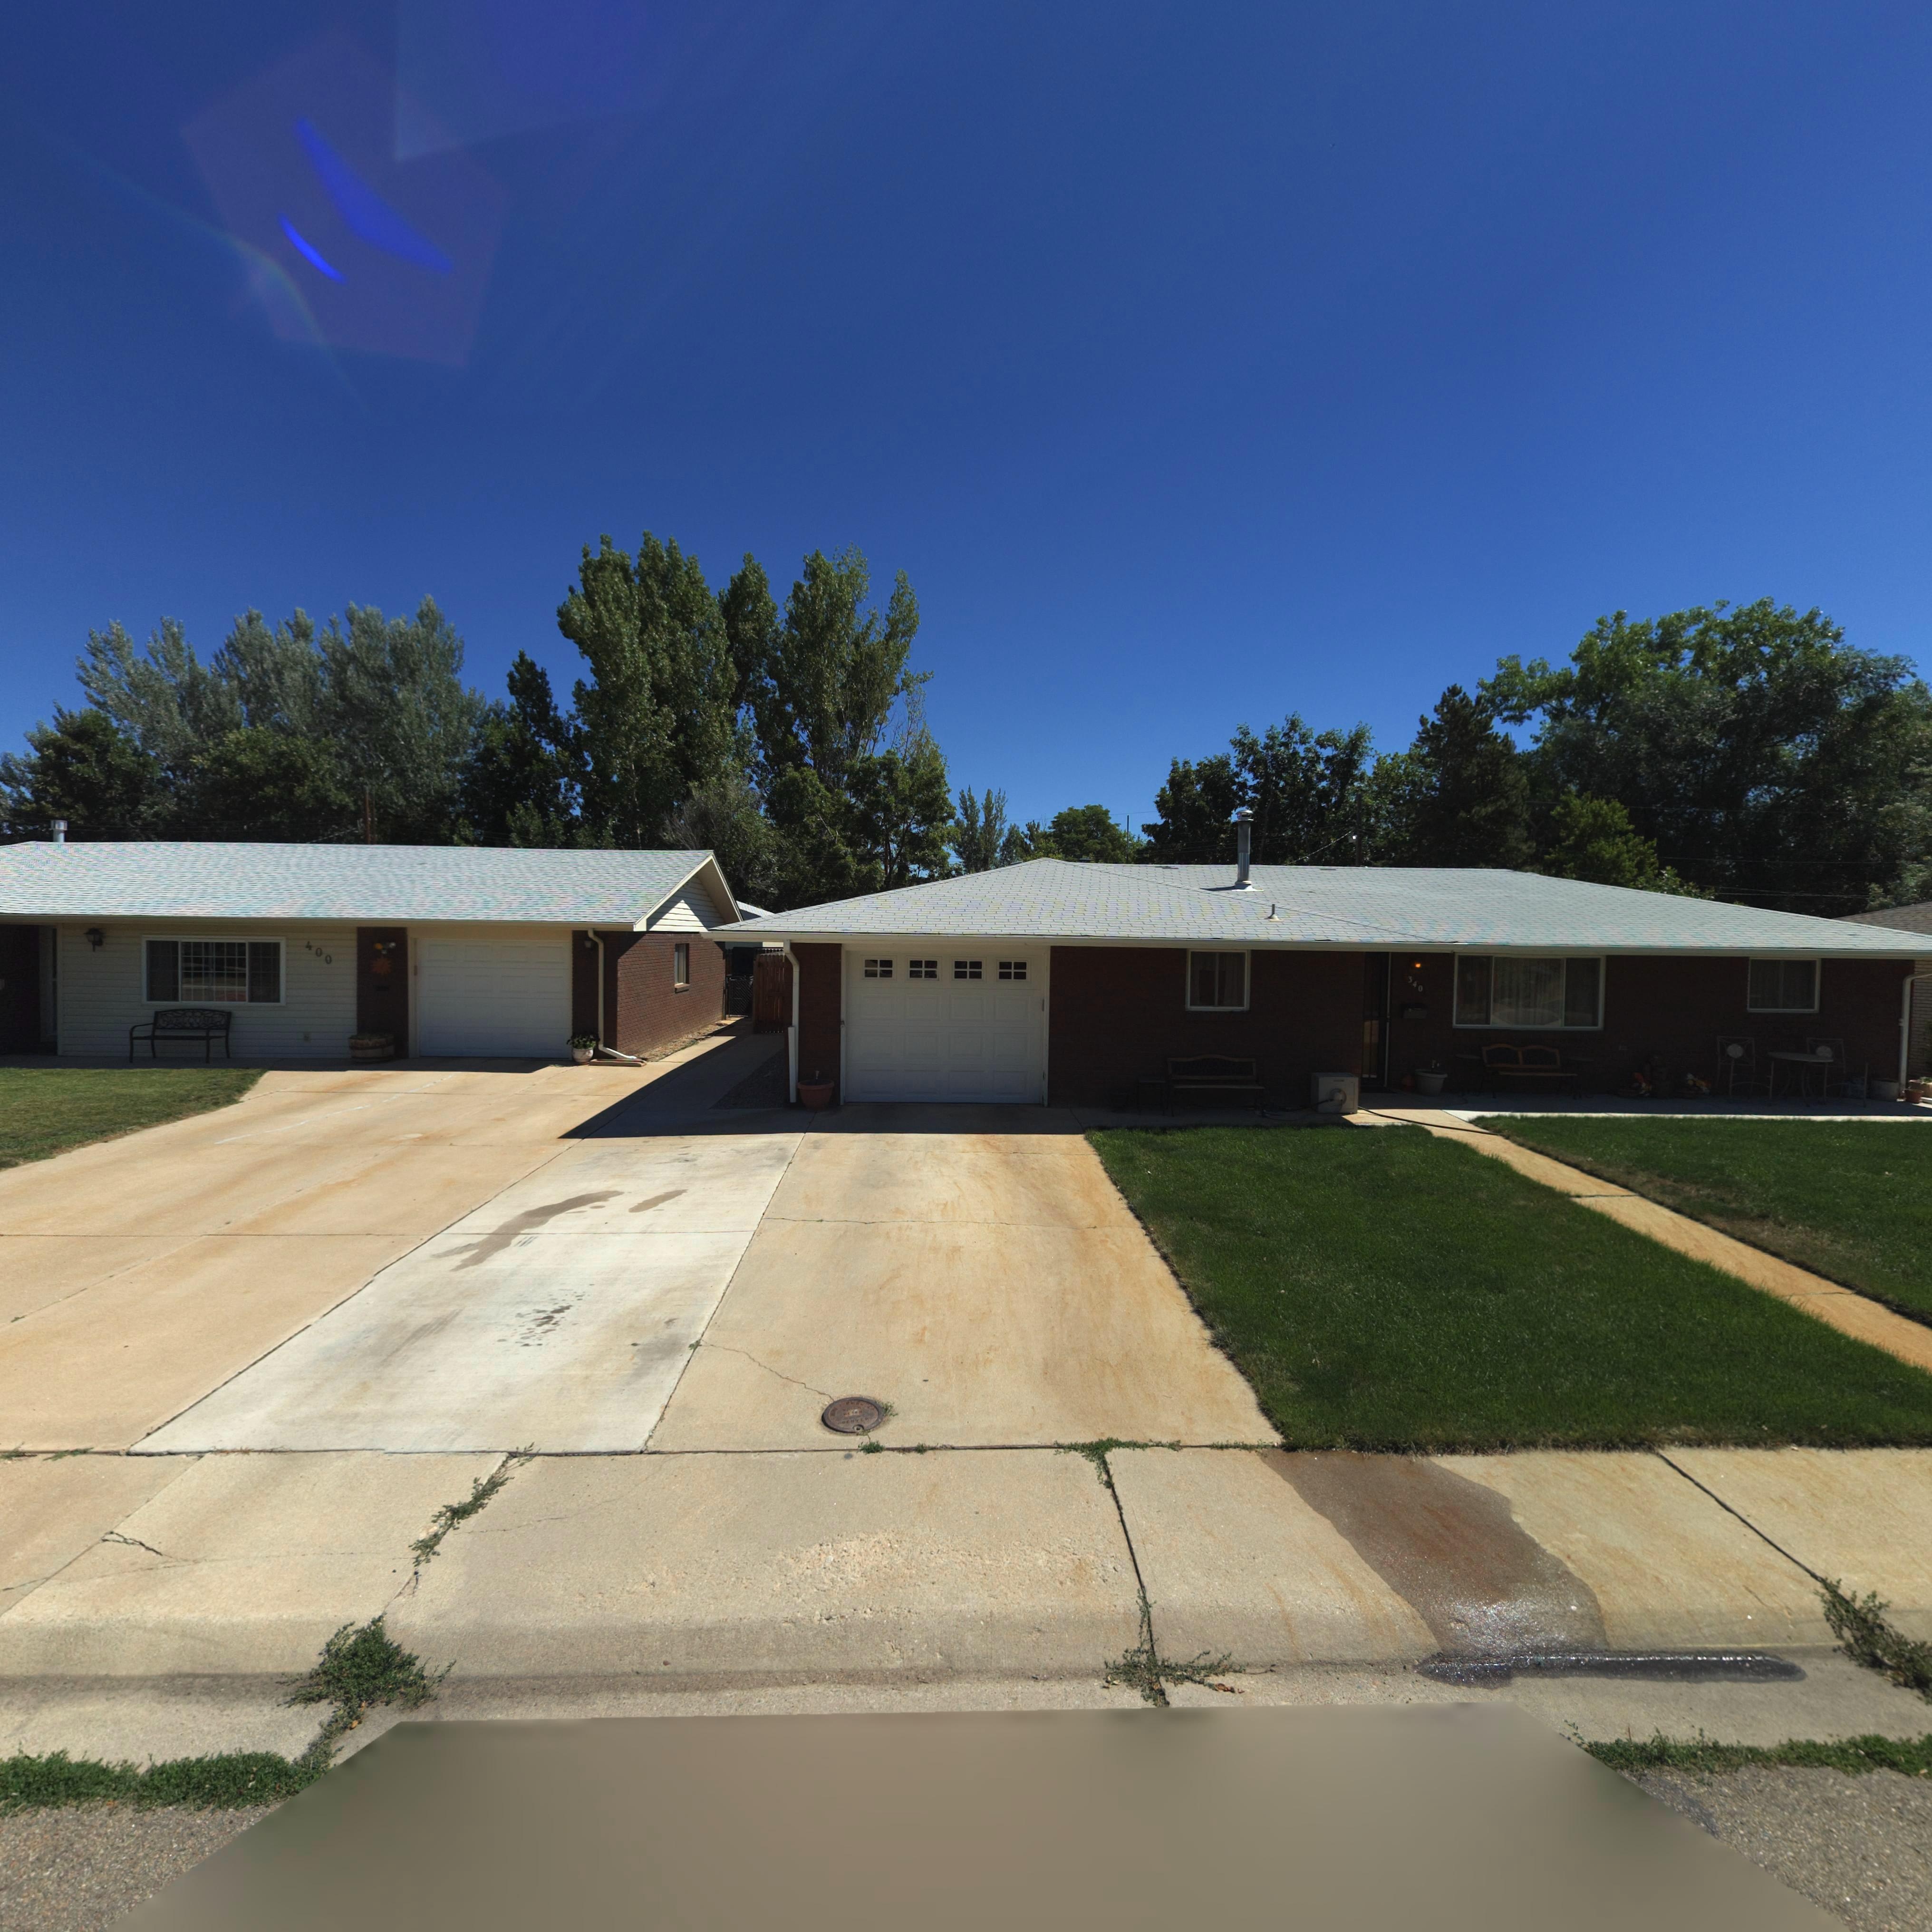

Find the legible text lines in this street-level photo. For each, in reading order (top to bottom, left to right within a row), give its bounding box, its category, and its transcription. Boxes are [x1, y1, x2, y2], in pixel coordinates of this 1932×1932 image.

[303, 939, 332, 966] StreetNumber: 400
[1407, 975, 1423, 993] StreetNumber: 340